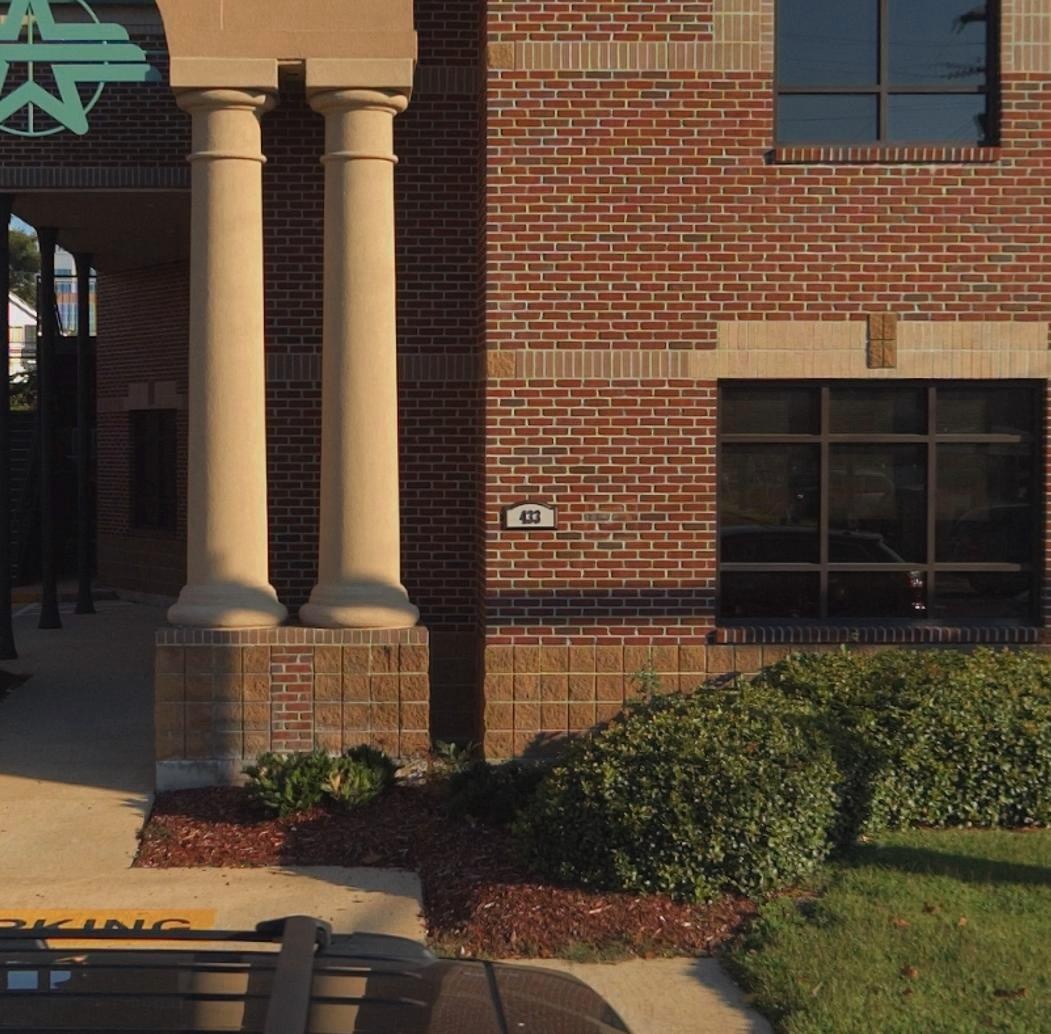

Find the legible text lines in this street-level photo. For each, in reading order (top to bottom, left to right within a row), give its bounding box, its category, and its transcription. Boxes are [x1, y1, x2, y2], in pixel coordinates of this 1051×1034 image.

[518, 508, 543, 526] StreetNumber: 433